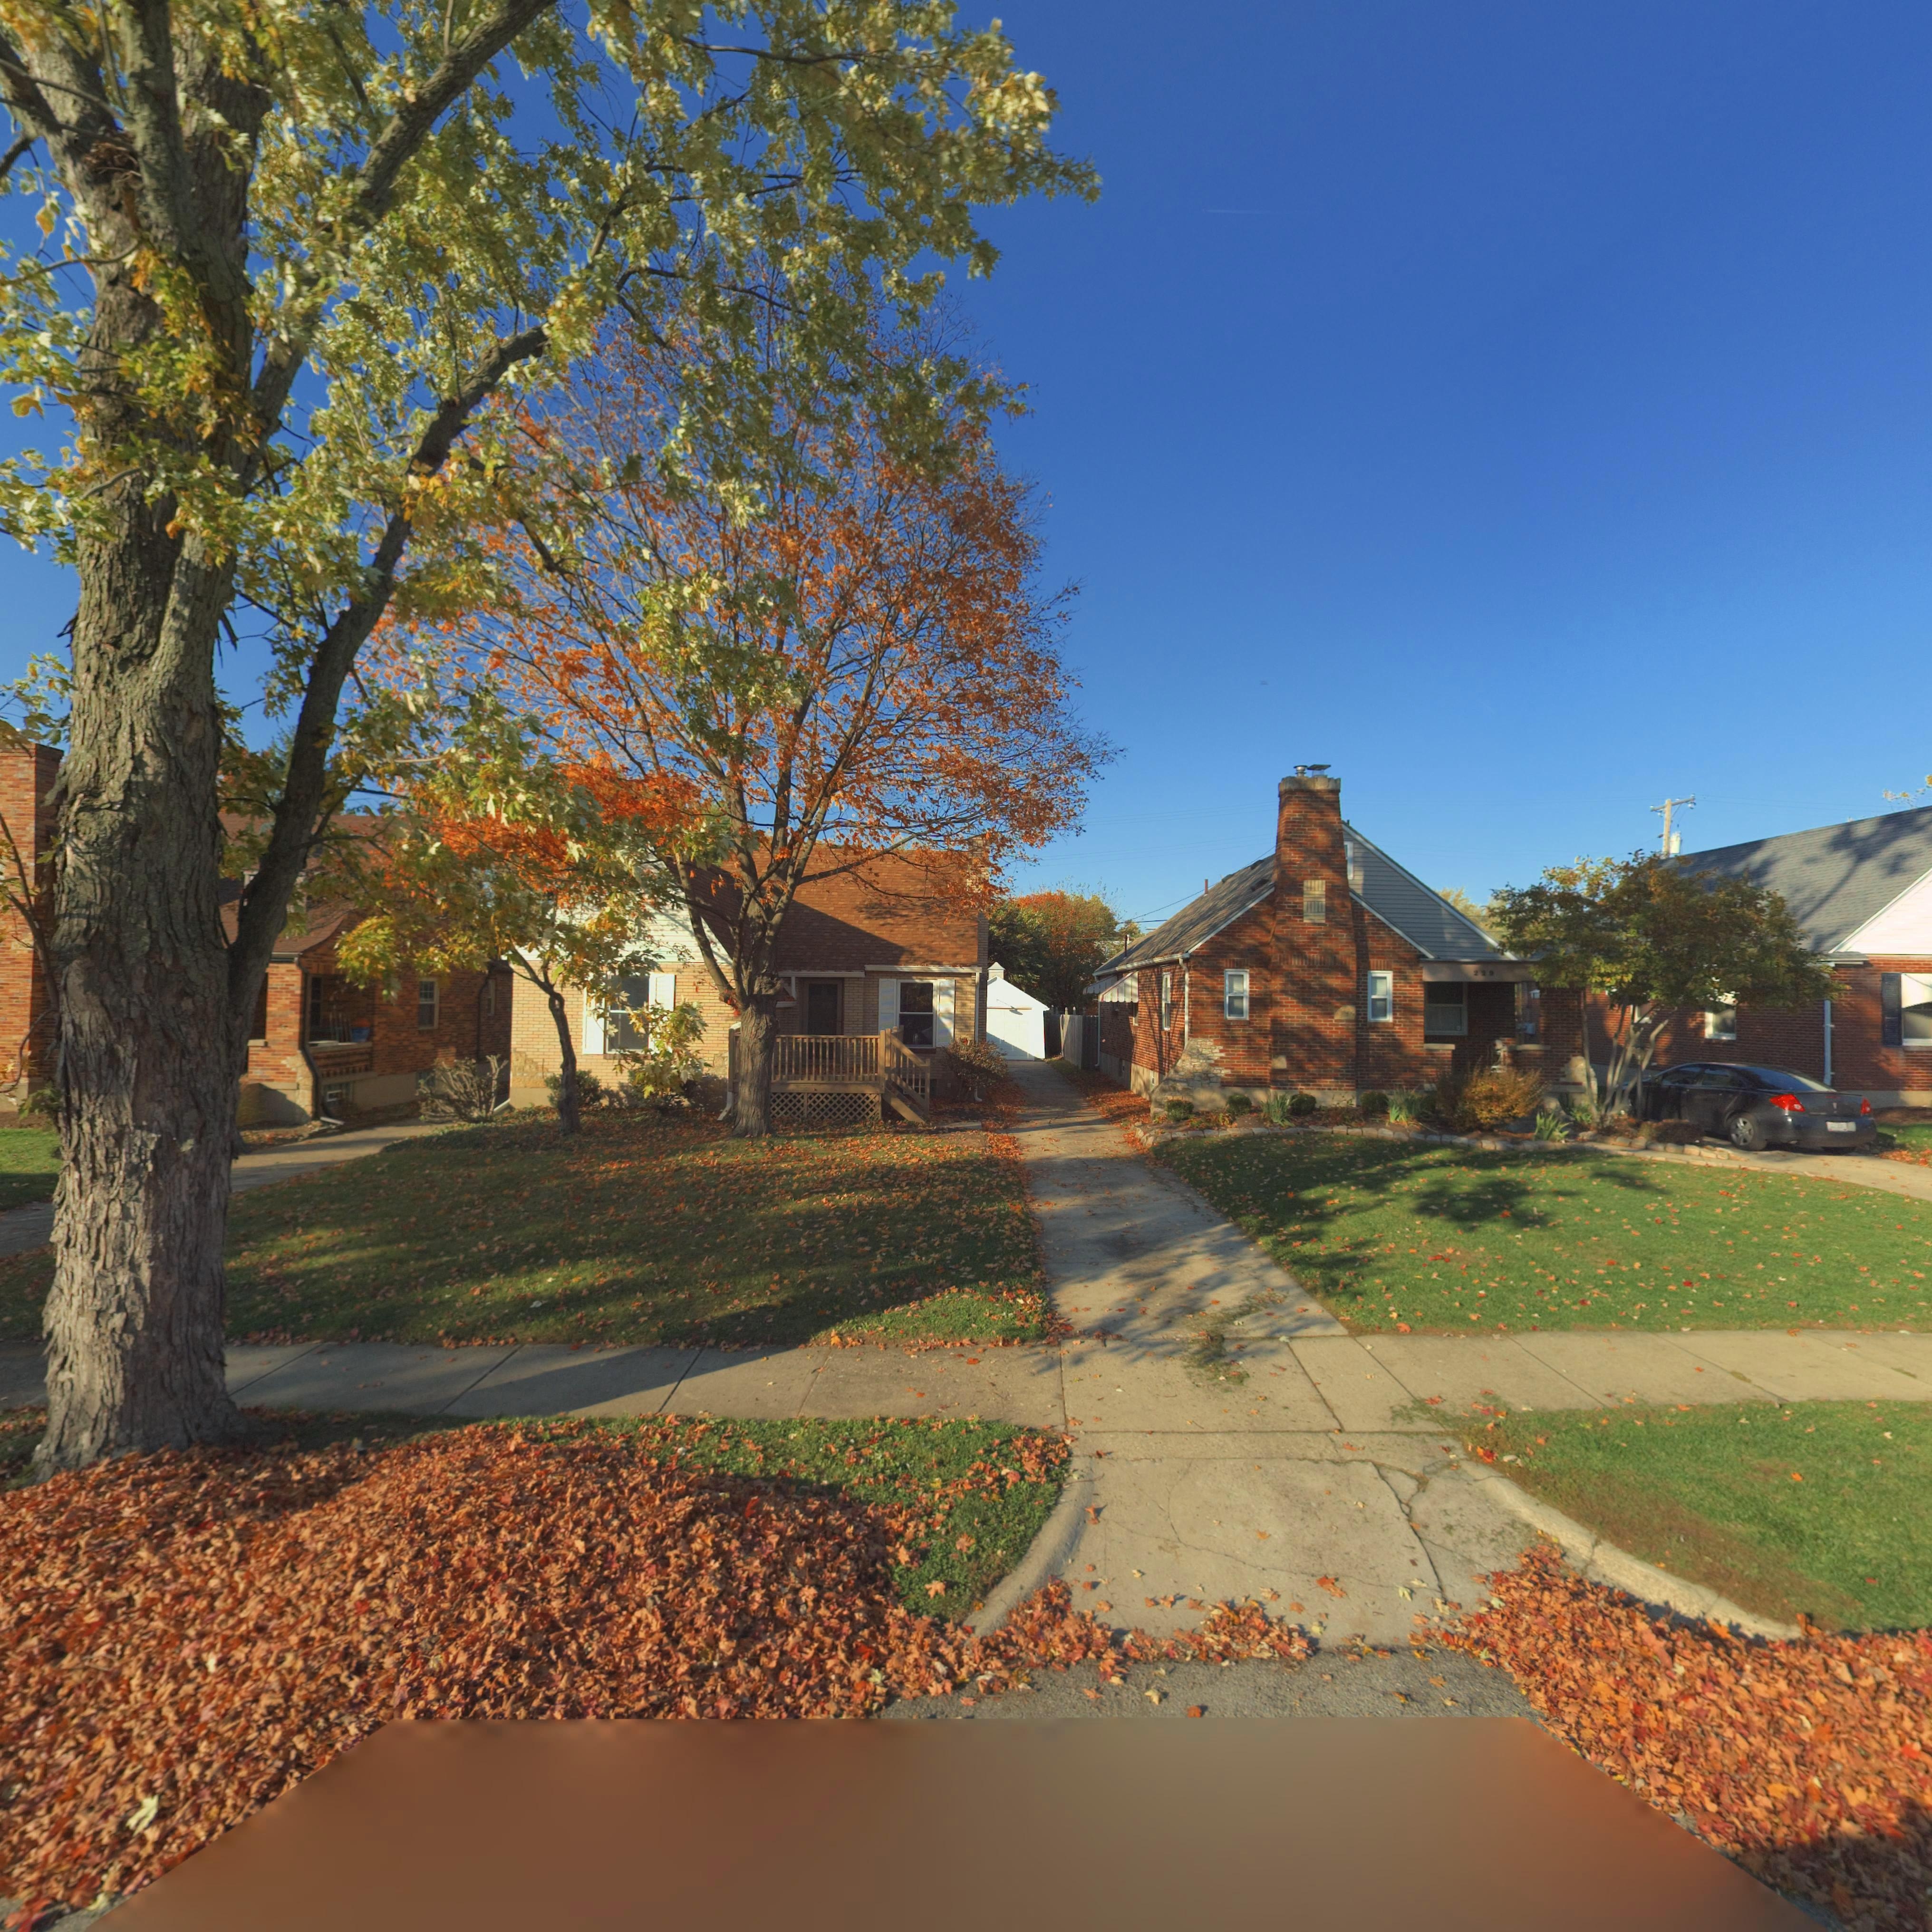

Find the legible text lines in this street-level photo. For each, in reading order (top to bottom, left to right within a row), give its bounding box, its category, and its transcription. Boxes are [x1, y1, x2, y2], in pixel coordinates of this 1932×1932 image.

[1473, 969, 1494, 976] StreetNumber: 229